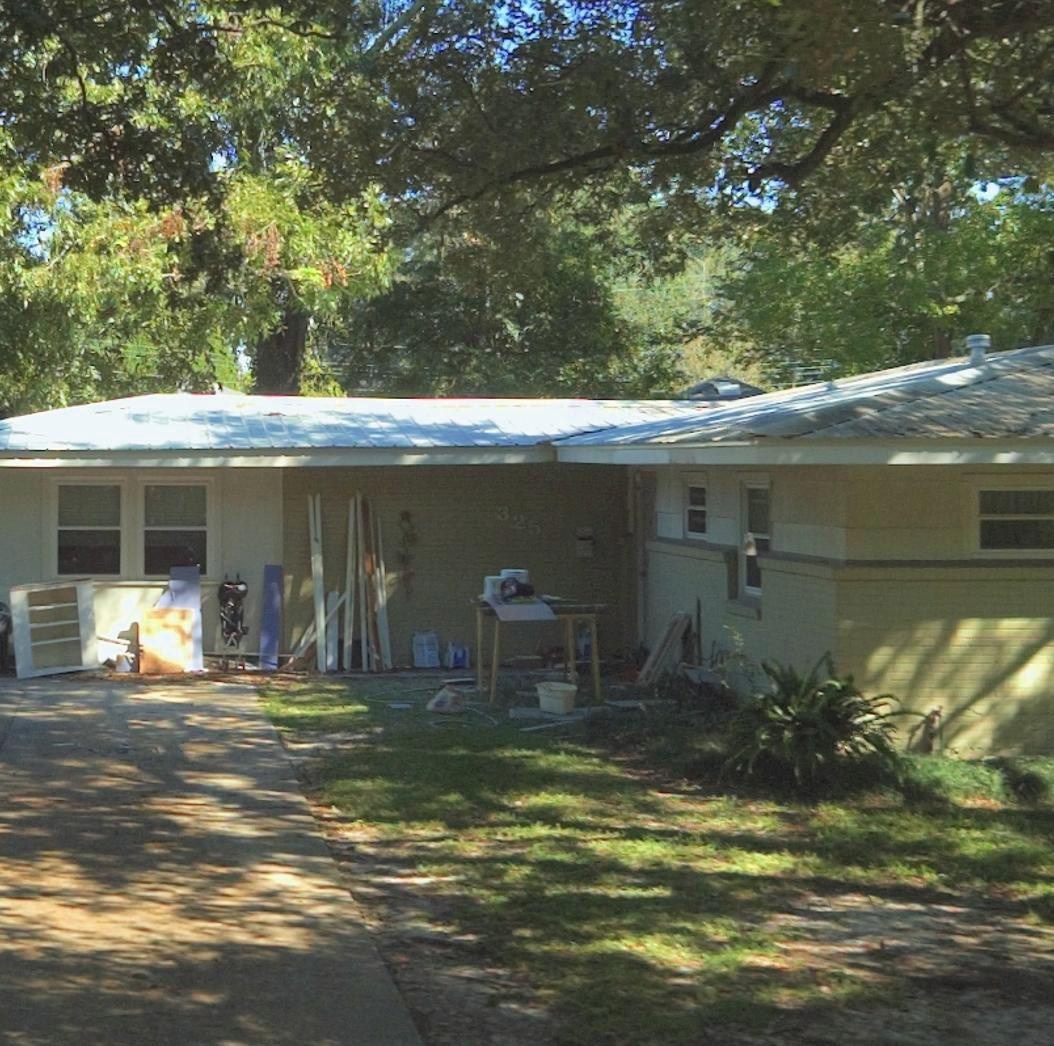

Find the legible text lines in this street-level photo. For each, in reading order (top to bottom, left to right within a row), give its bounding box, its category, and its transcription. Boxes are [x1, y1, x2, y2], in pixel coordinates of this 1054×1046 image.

[496, 504, 542, 538] StreetNumber: 325